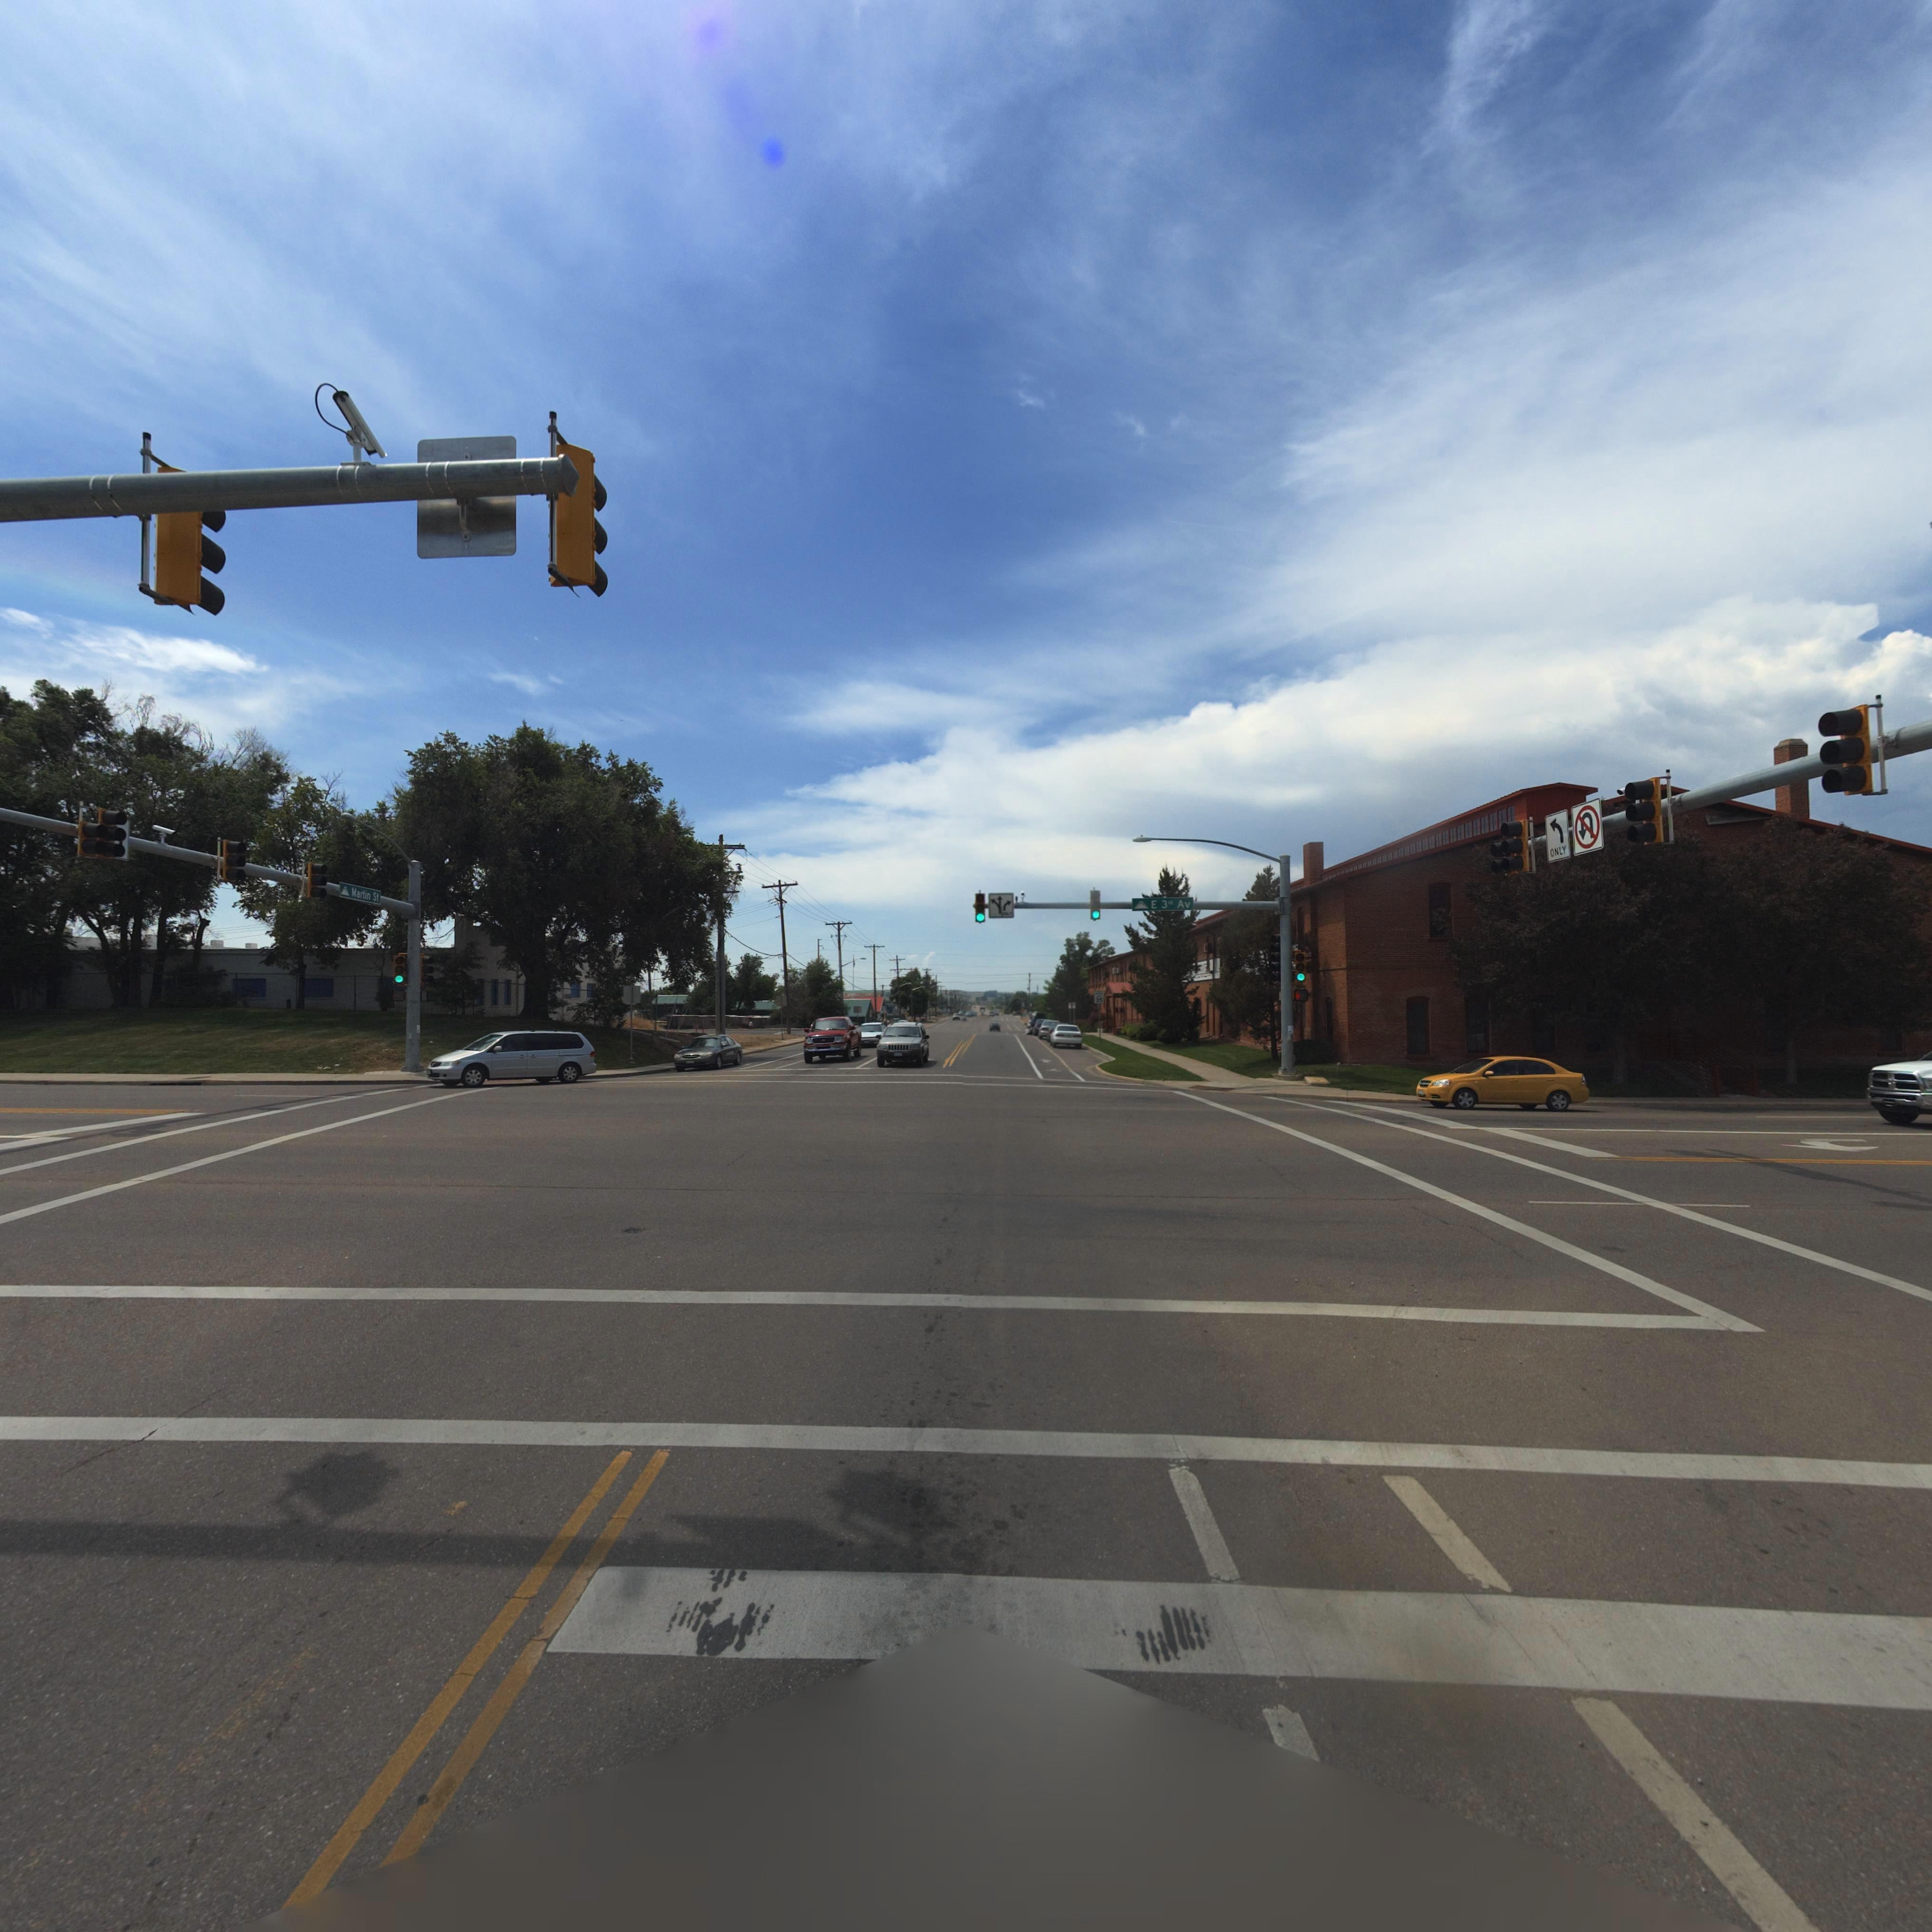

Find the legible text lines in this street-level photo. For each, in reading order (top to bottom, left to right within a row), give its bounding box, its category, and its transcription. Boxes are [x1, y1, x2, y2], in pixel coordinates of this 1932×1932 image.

[349, 886, 380, 903] StreetName: Martin St
[1147, 898, 1191, 910] StreetName: E 3 rd Av